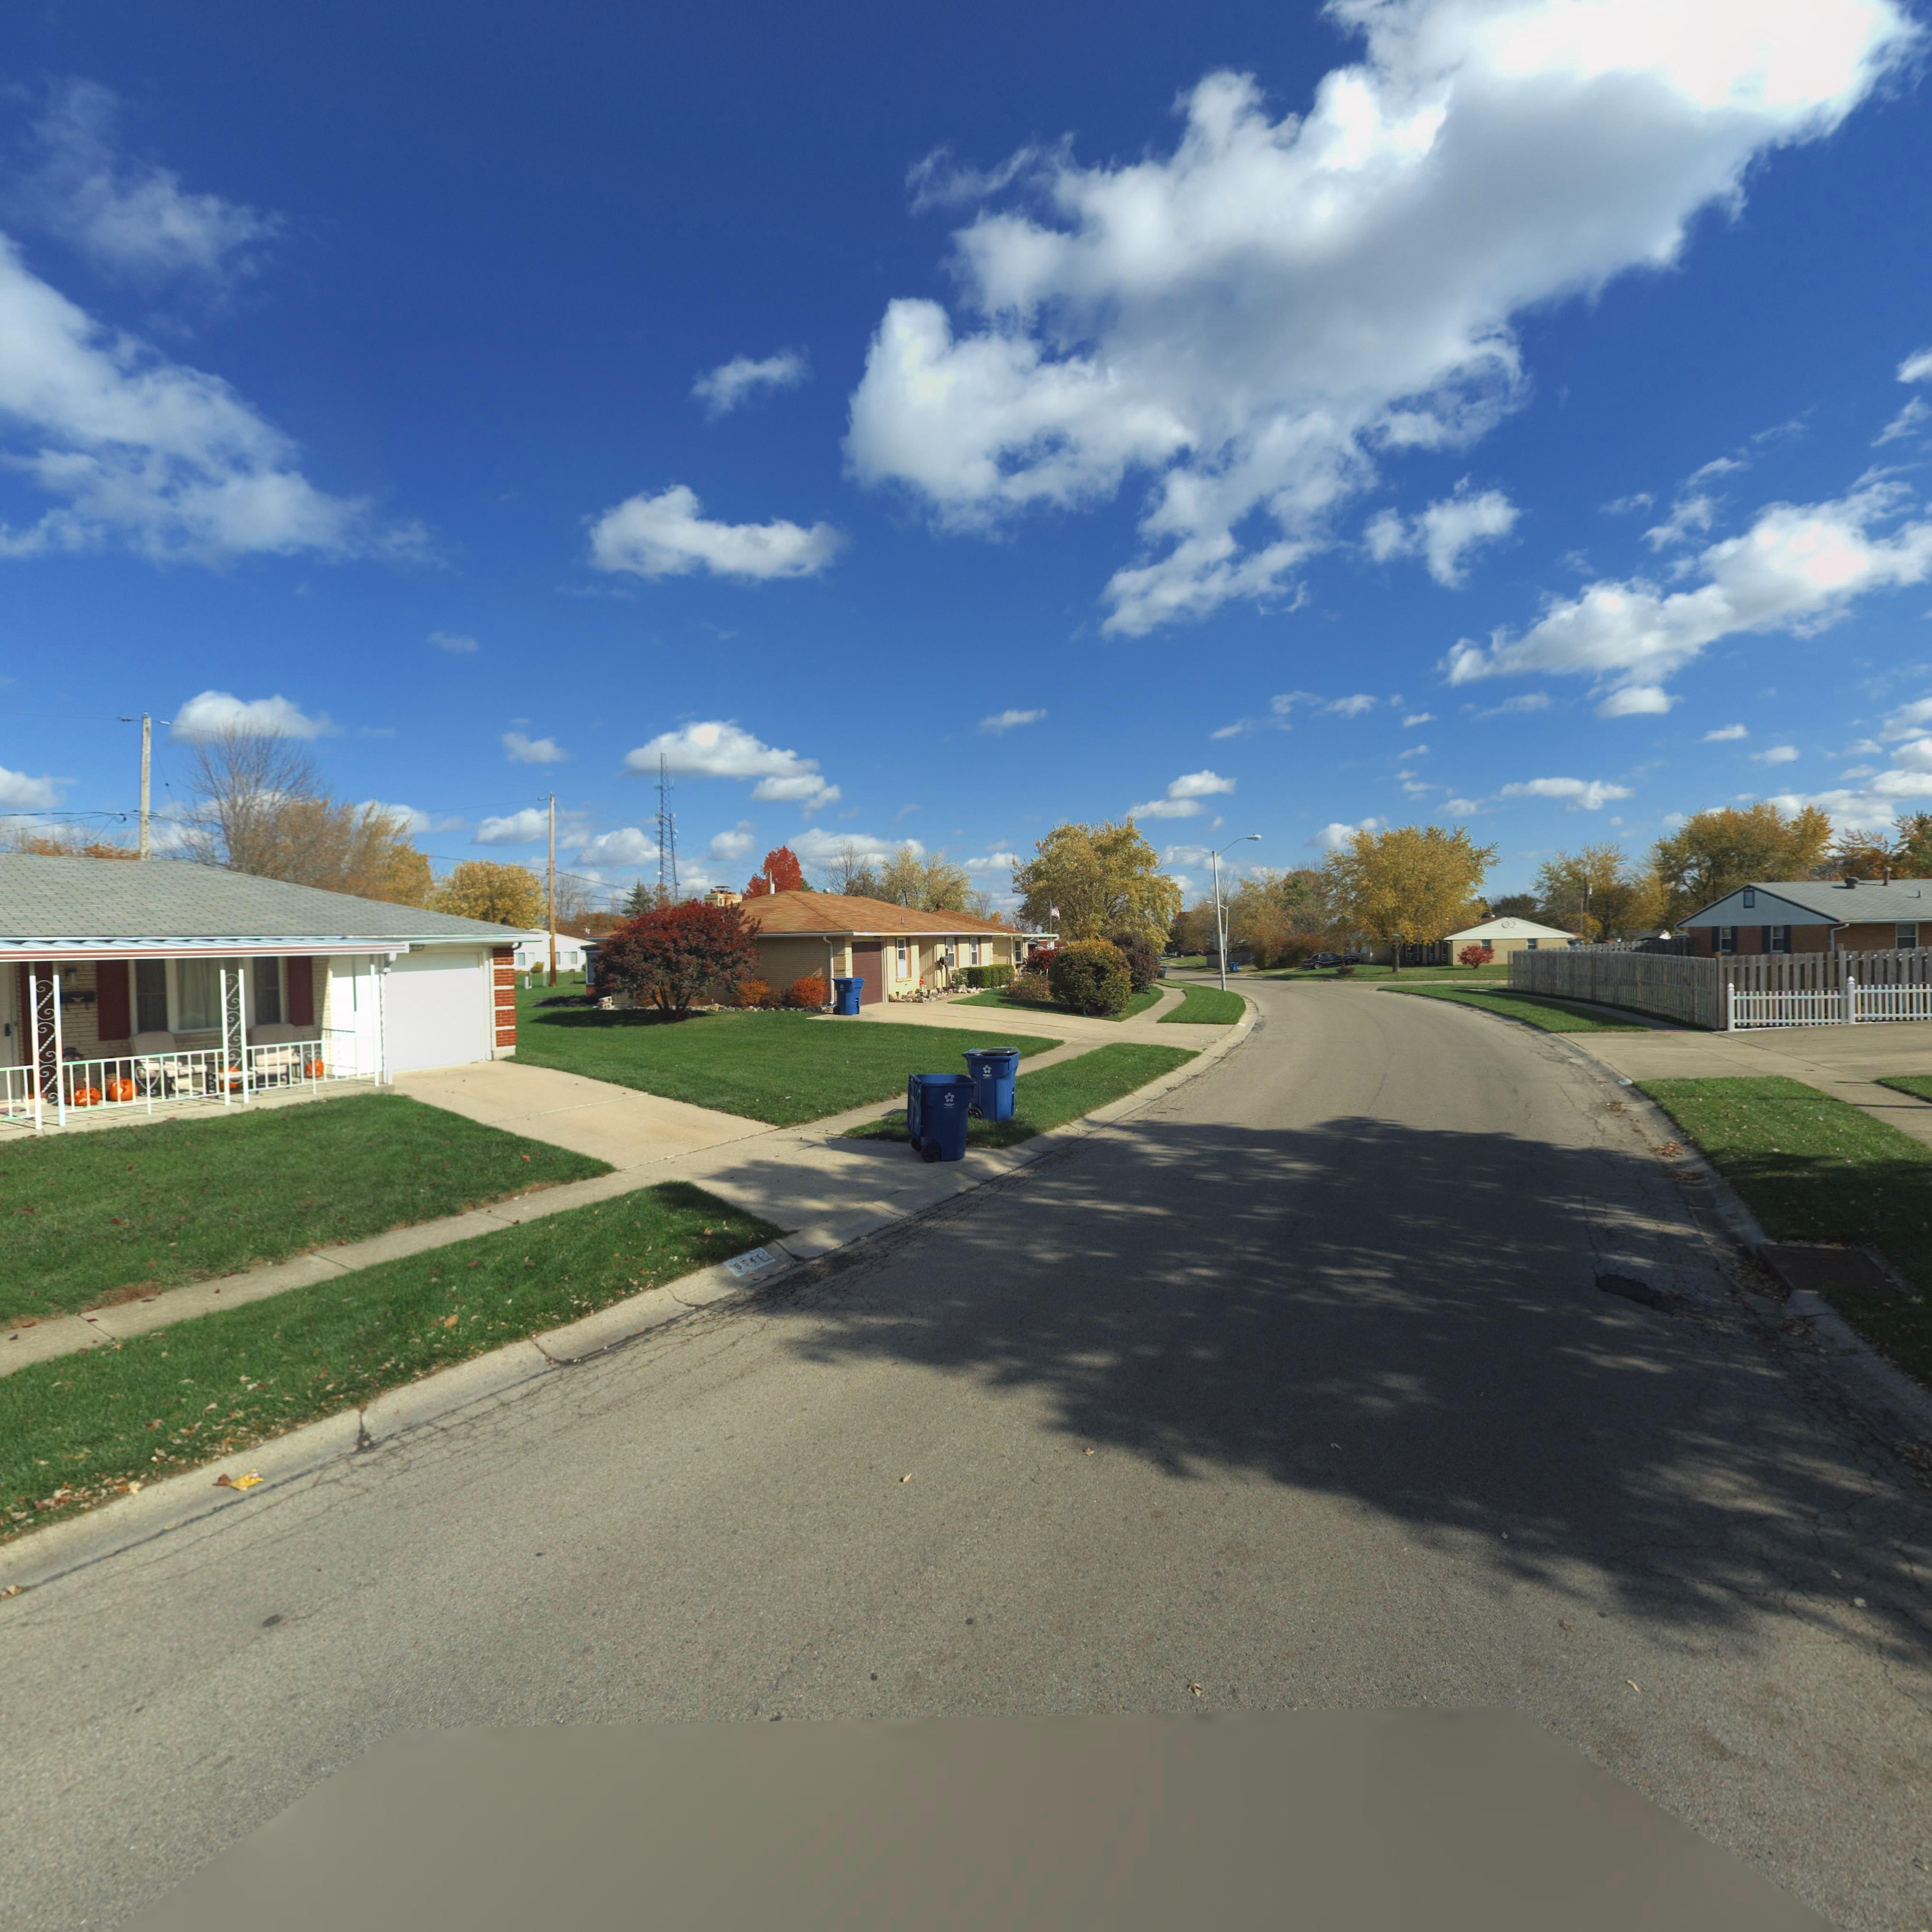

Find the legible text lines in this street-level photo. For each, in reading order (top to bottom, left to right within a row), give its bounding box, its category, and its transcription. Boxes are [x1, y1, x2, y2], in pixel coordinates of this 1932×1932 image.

[732, 1254, 765, 1271] StreetNumber: 6541